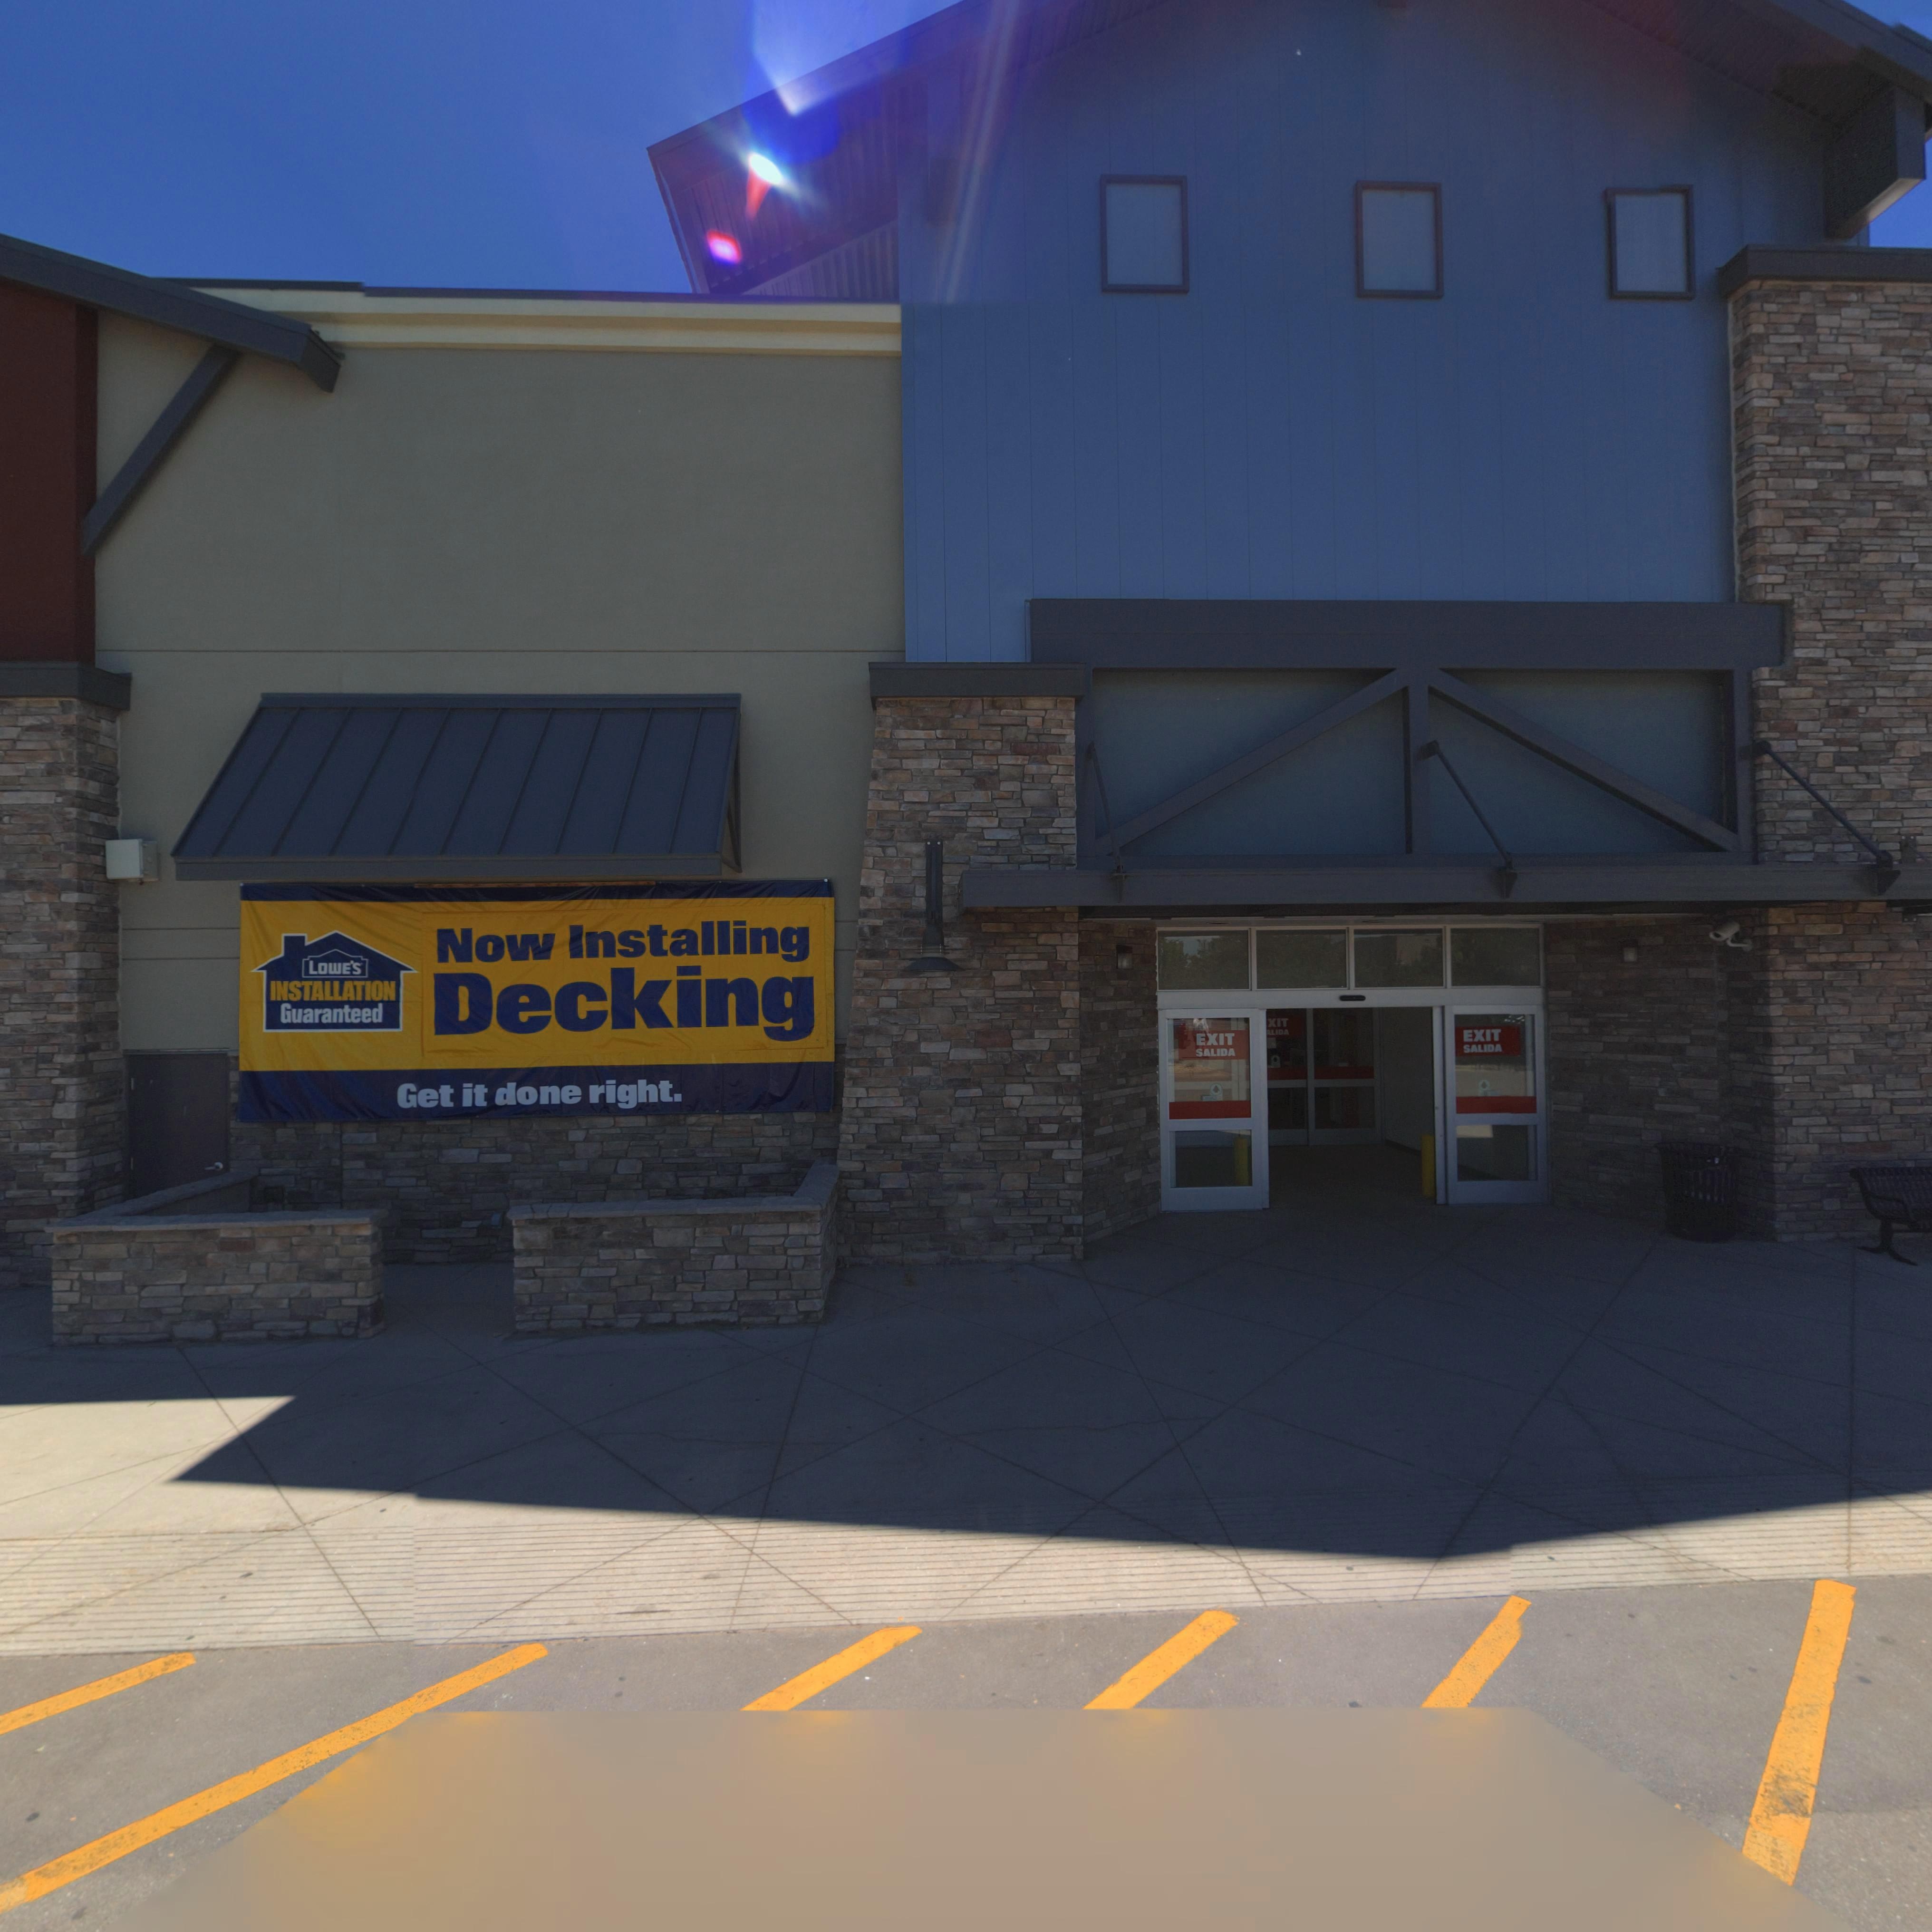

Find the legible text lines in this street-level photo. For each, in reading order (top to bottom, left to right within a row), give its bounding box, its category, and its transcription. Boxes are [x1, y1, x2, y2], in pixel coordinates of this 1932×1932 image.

[308, 959, 363, 976] BusinessName: LOWE'S